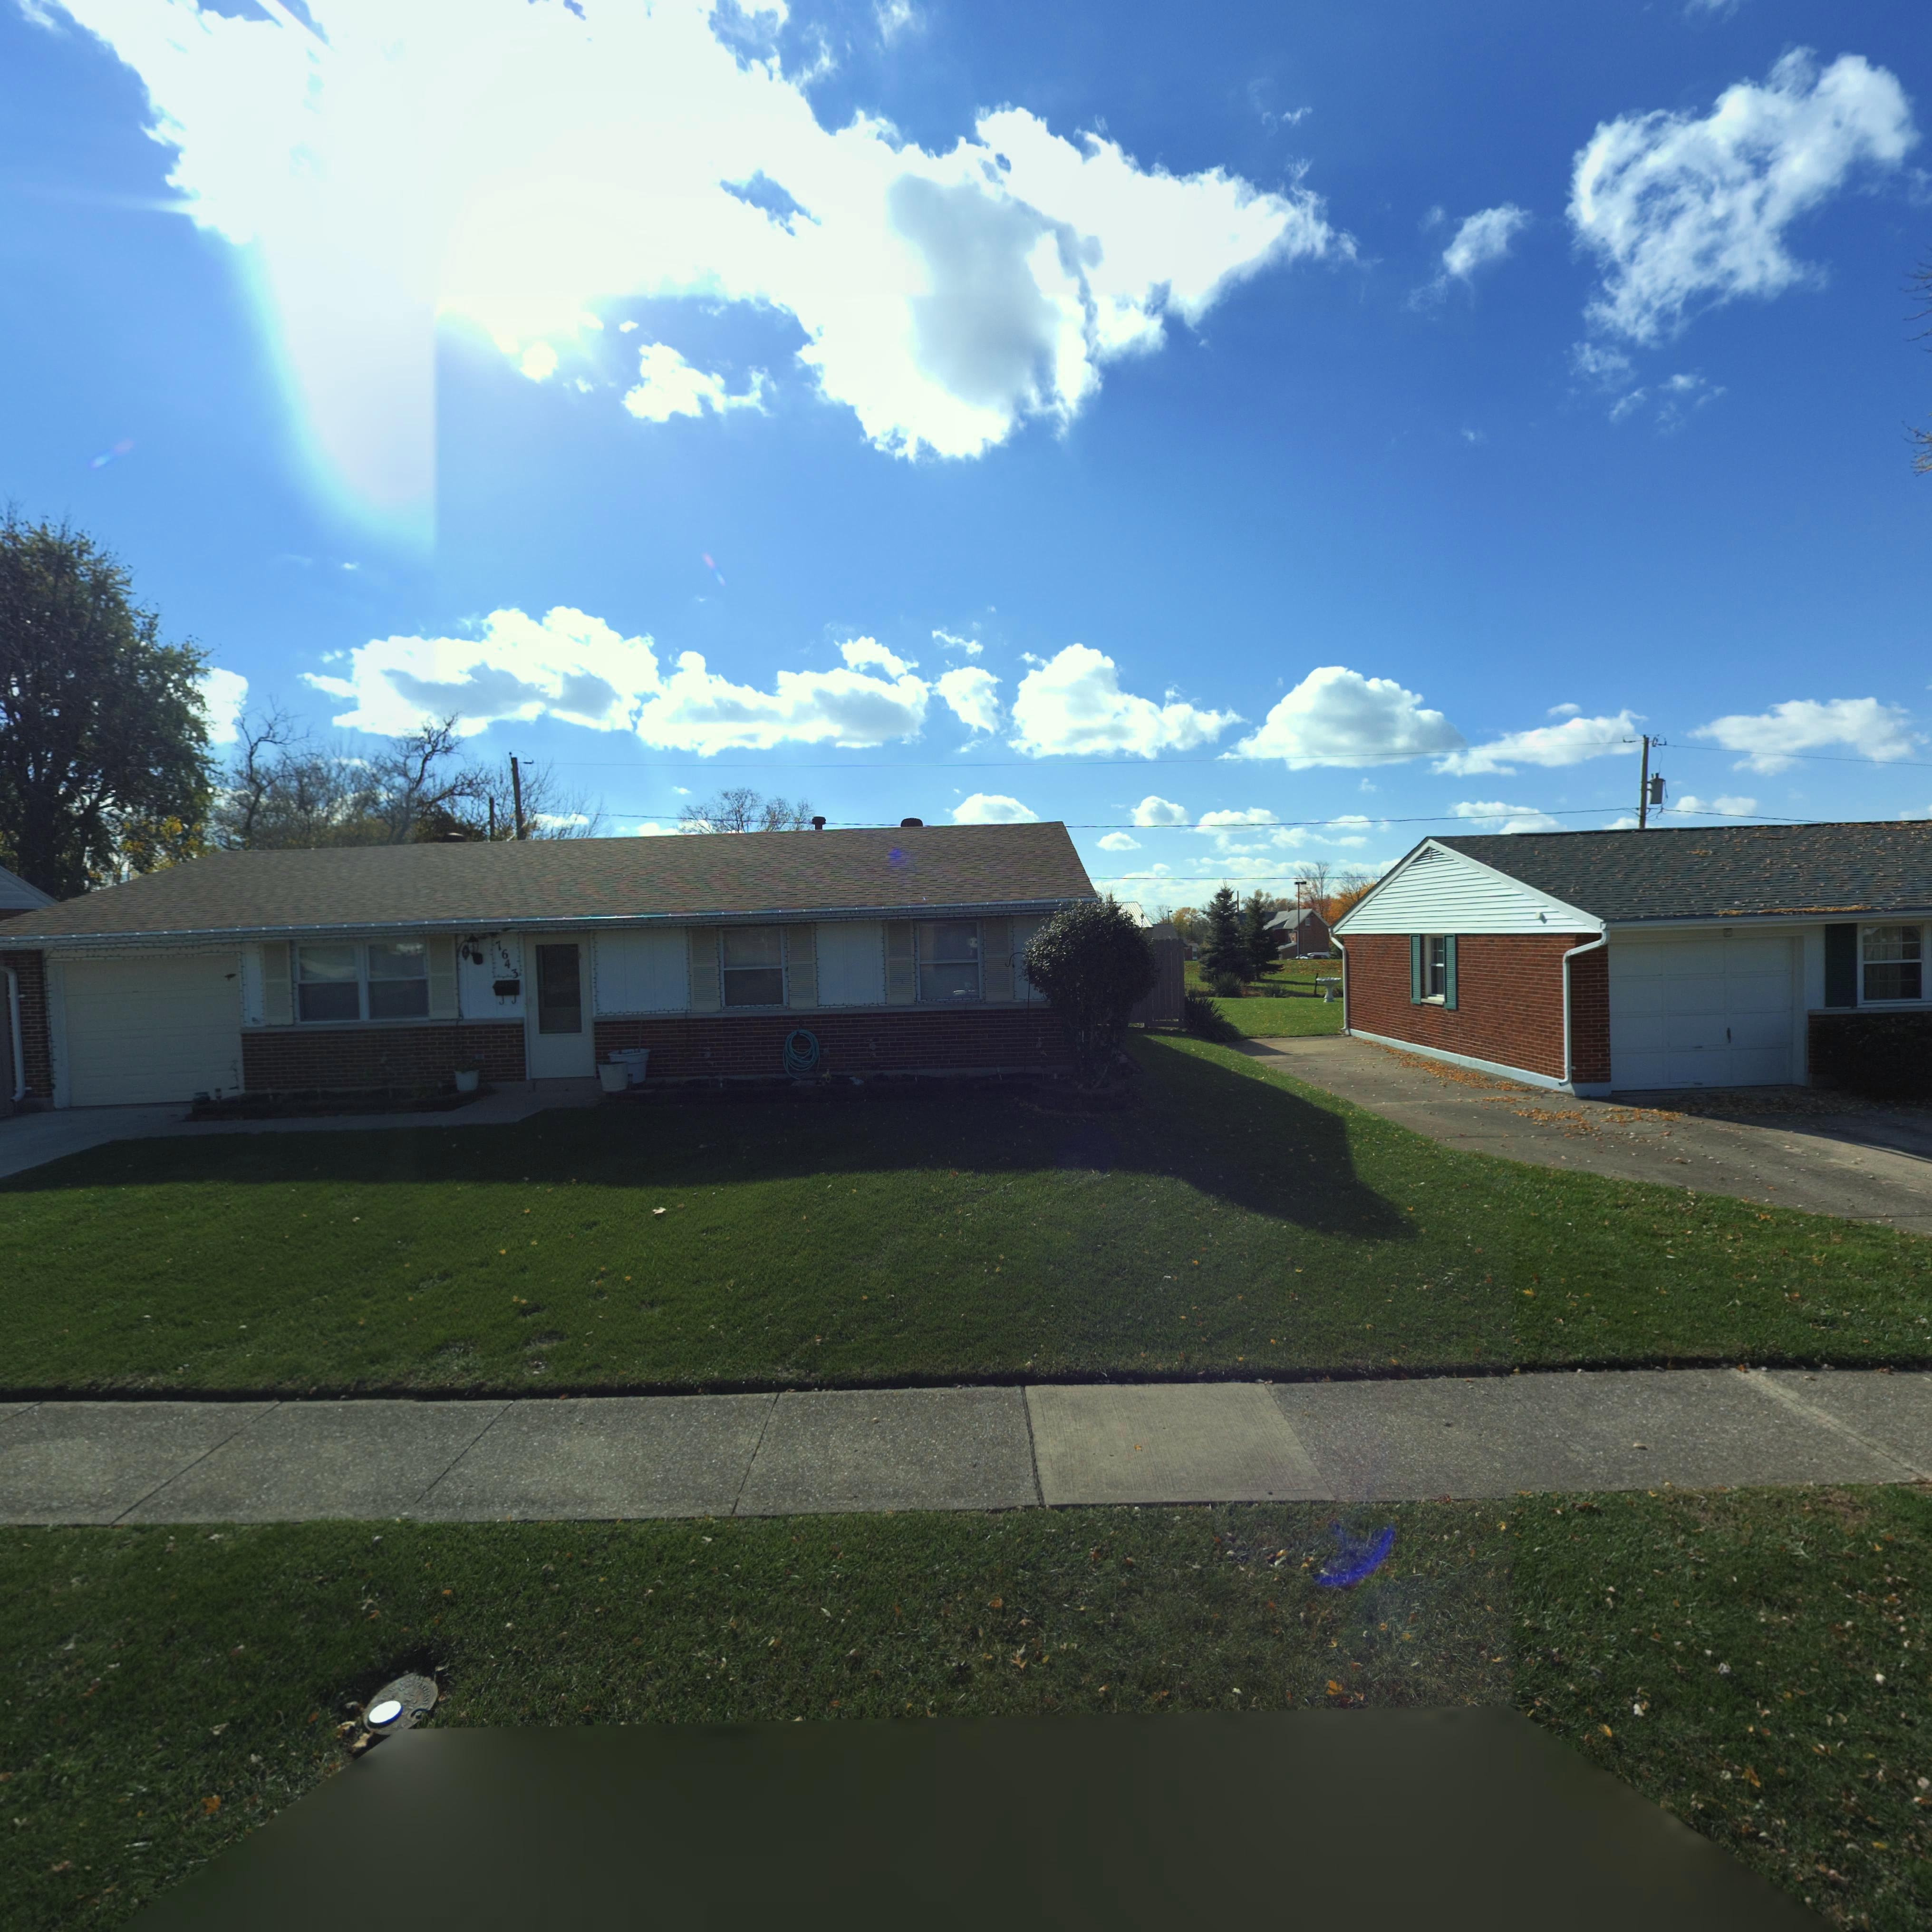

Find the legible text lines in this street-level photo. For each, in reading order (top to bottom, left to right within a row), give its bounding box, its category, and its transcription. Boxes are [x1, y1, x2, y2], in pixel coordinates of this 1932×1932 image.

[494, 939, 519, 980] StreetNumber: 7643